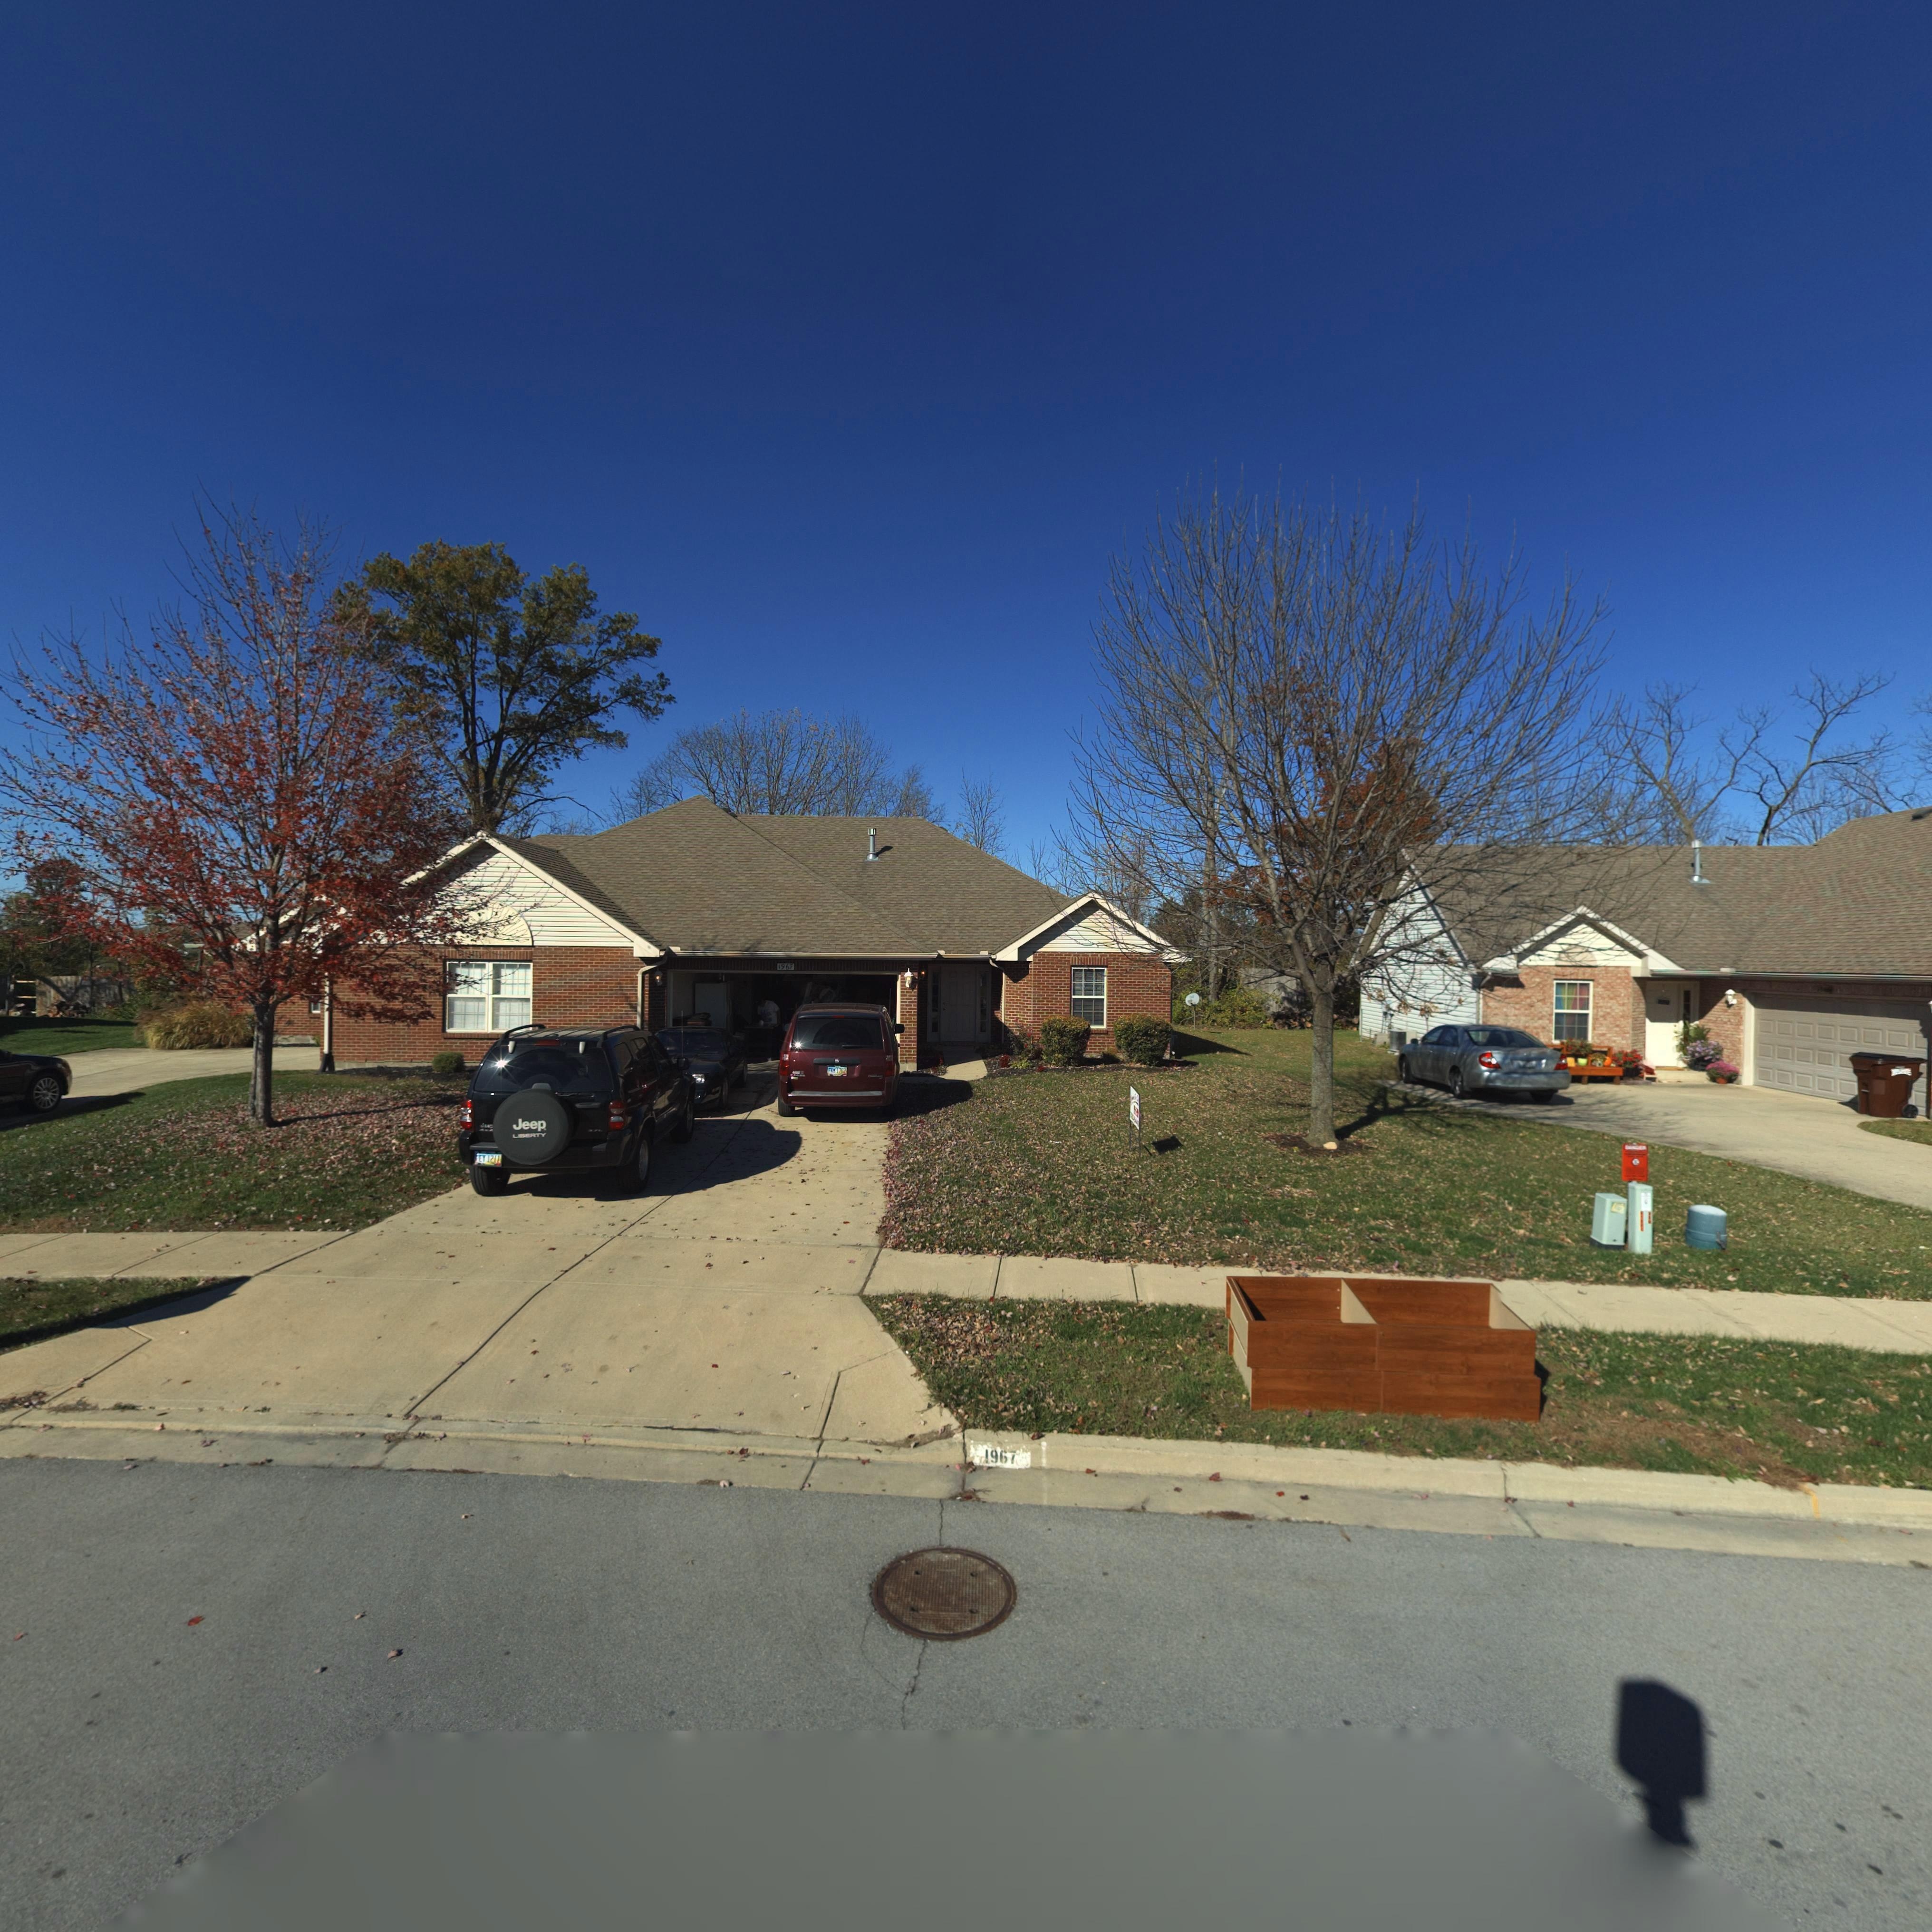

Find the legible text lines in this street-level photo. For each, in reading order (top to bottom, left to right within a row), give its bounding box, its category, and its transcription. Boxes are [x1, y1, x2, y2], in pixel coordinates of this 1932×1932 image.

[777, 963, 794, 970] StreetNumber: 1967
[984, 1448, 1017, 1465] StreetNumber: 196*